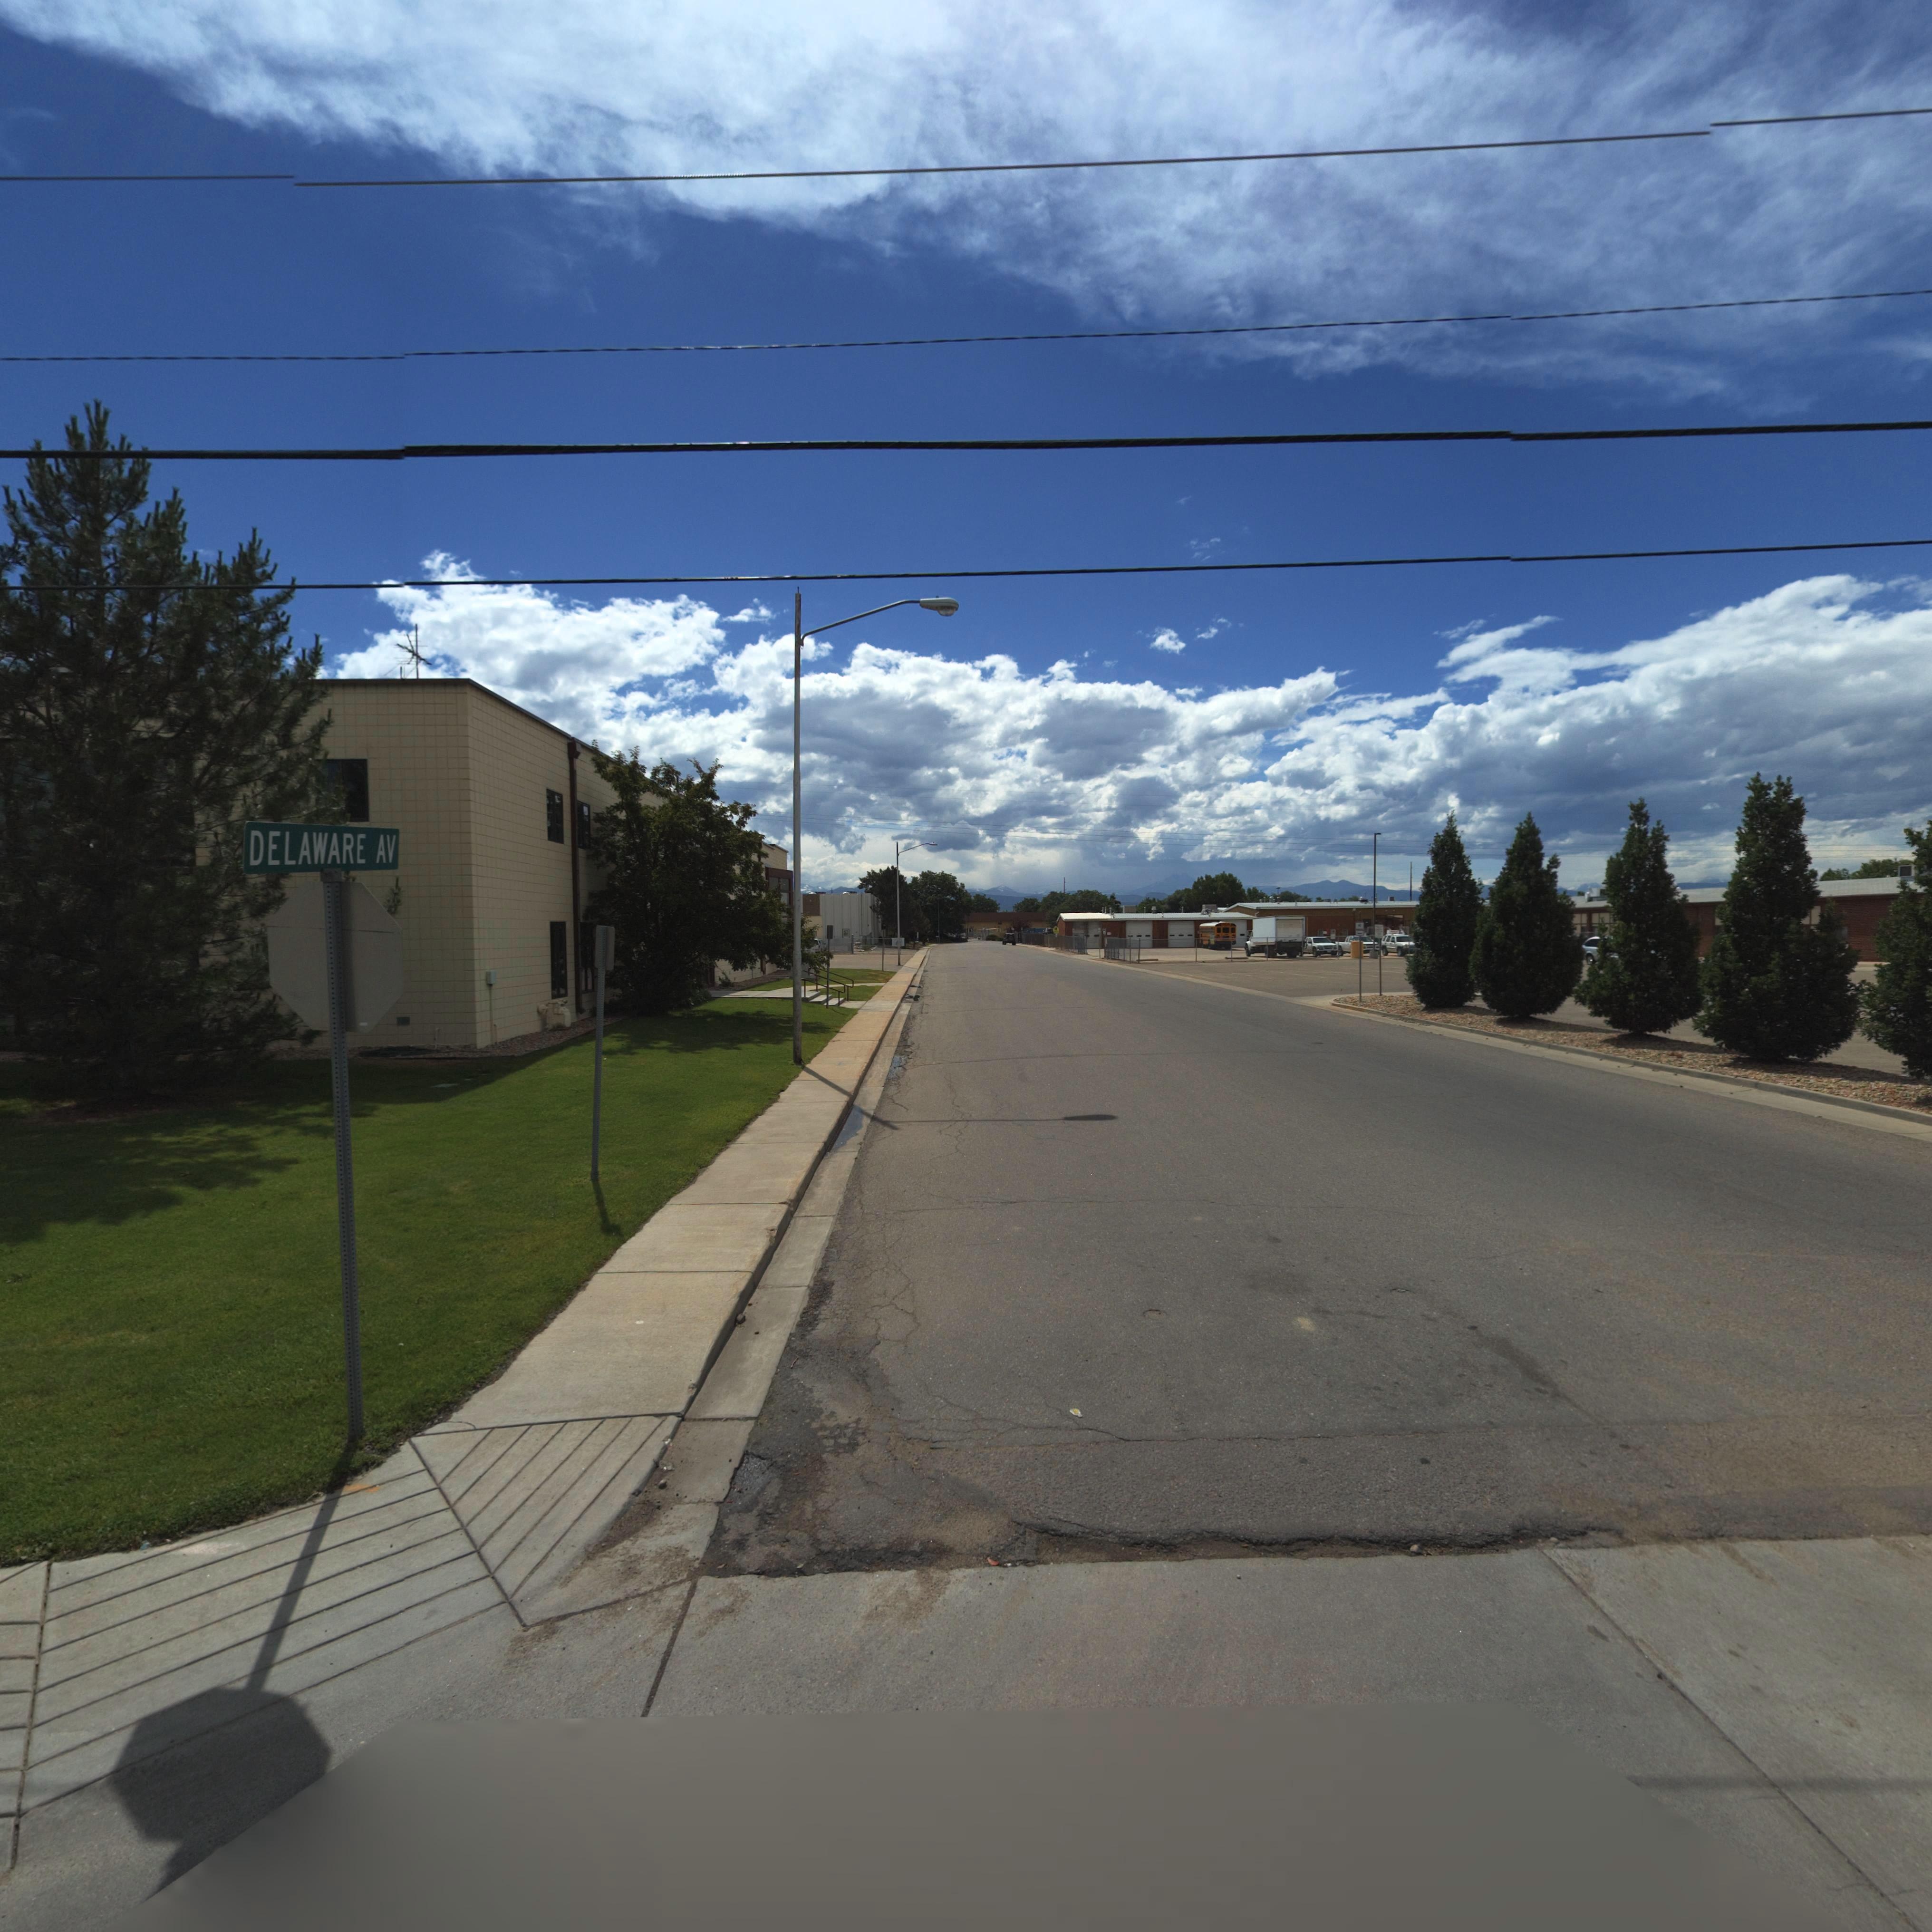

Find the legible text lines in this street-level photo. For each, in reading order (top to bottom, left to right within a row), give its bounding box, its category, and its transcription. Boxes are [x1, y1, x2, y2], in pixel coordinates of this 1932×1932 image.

[249, 829, 396, 866] StreetName: DELEWARE AV